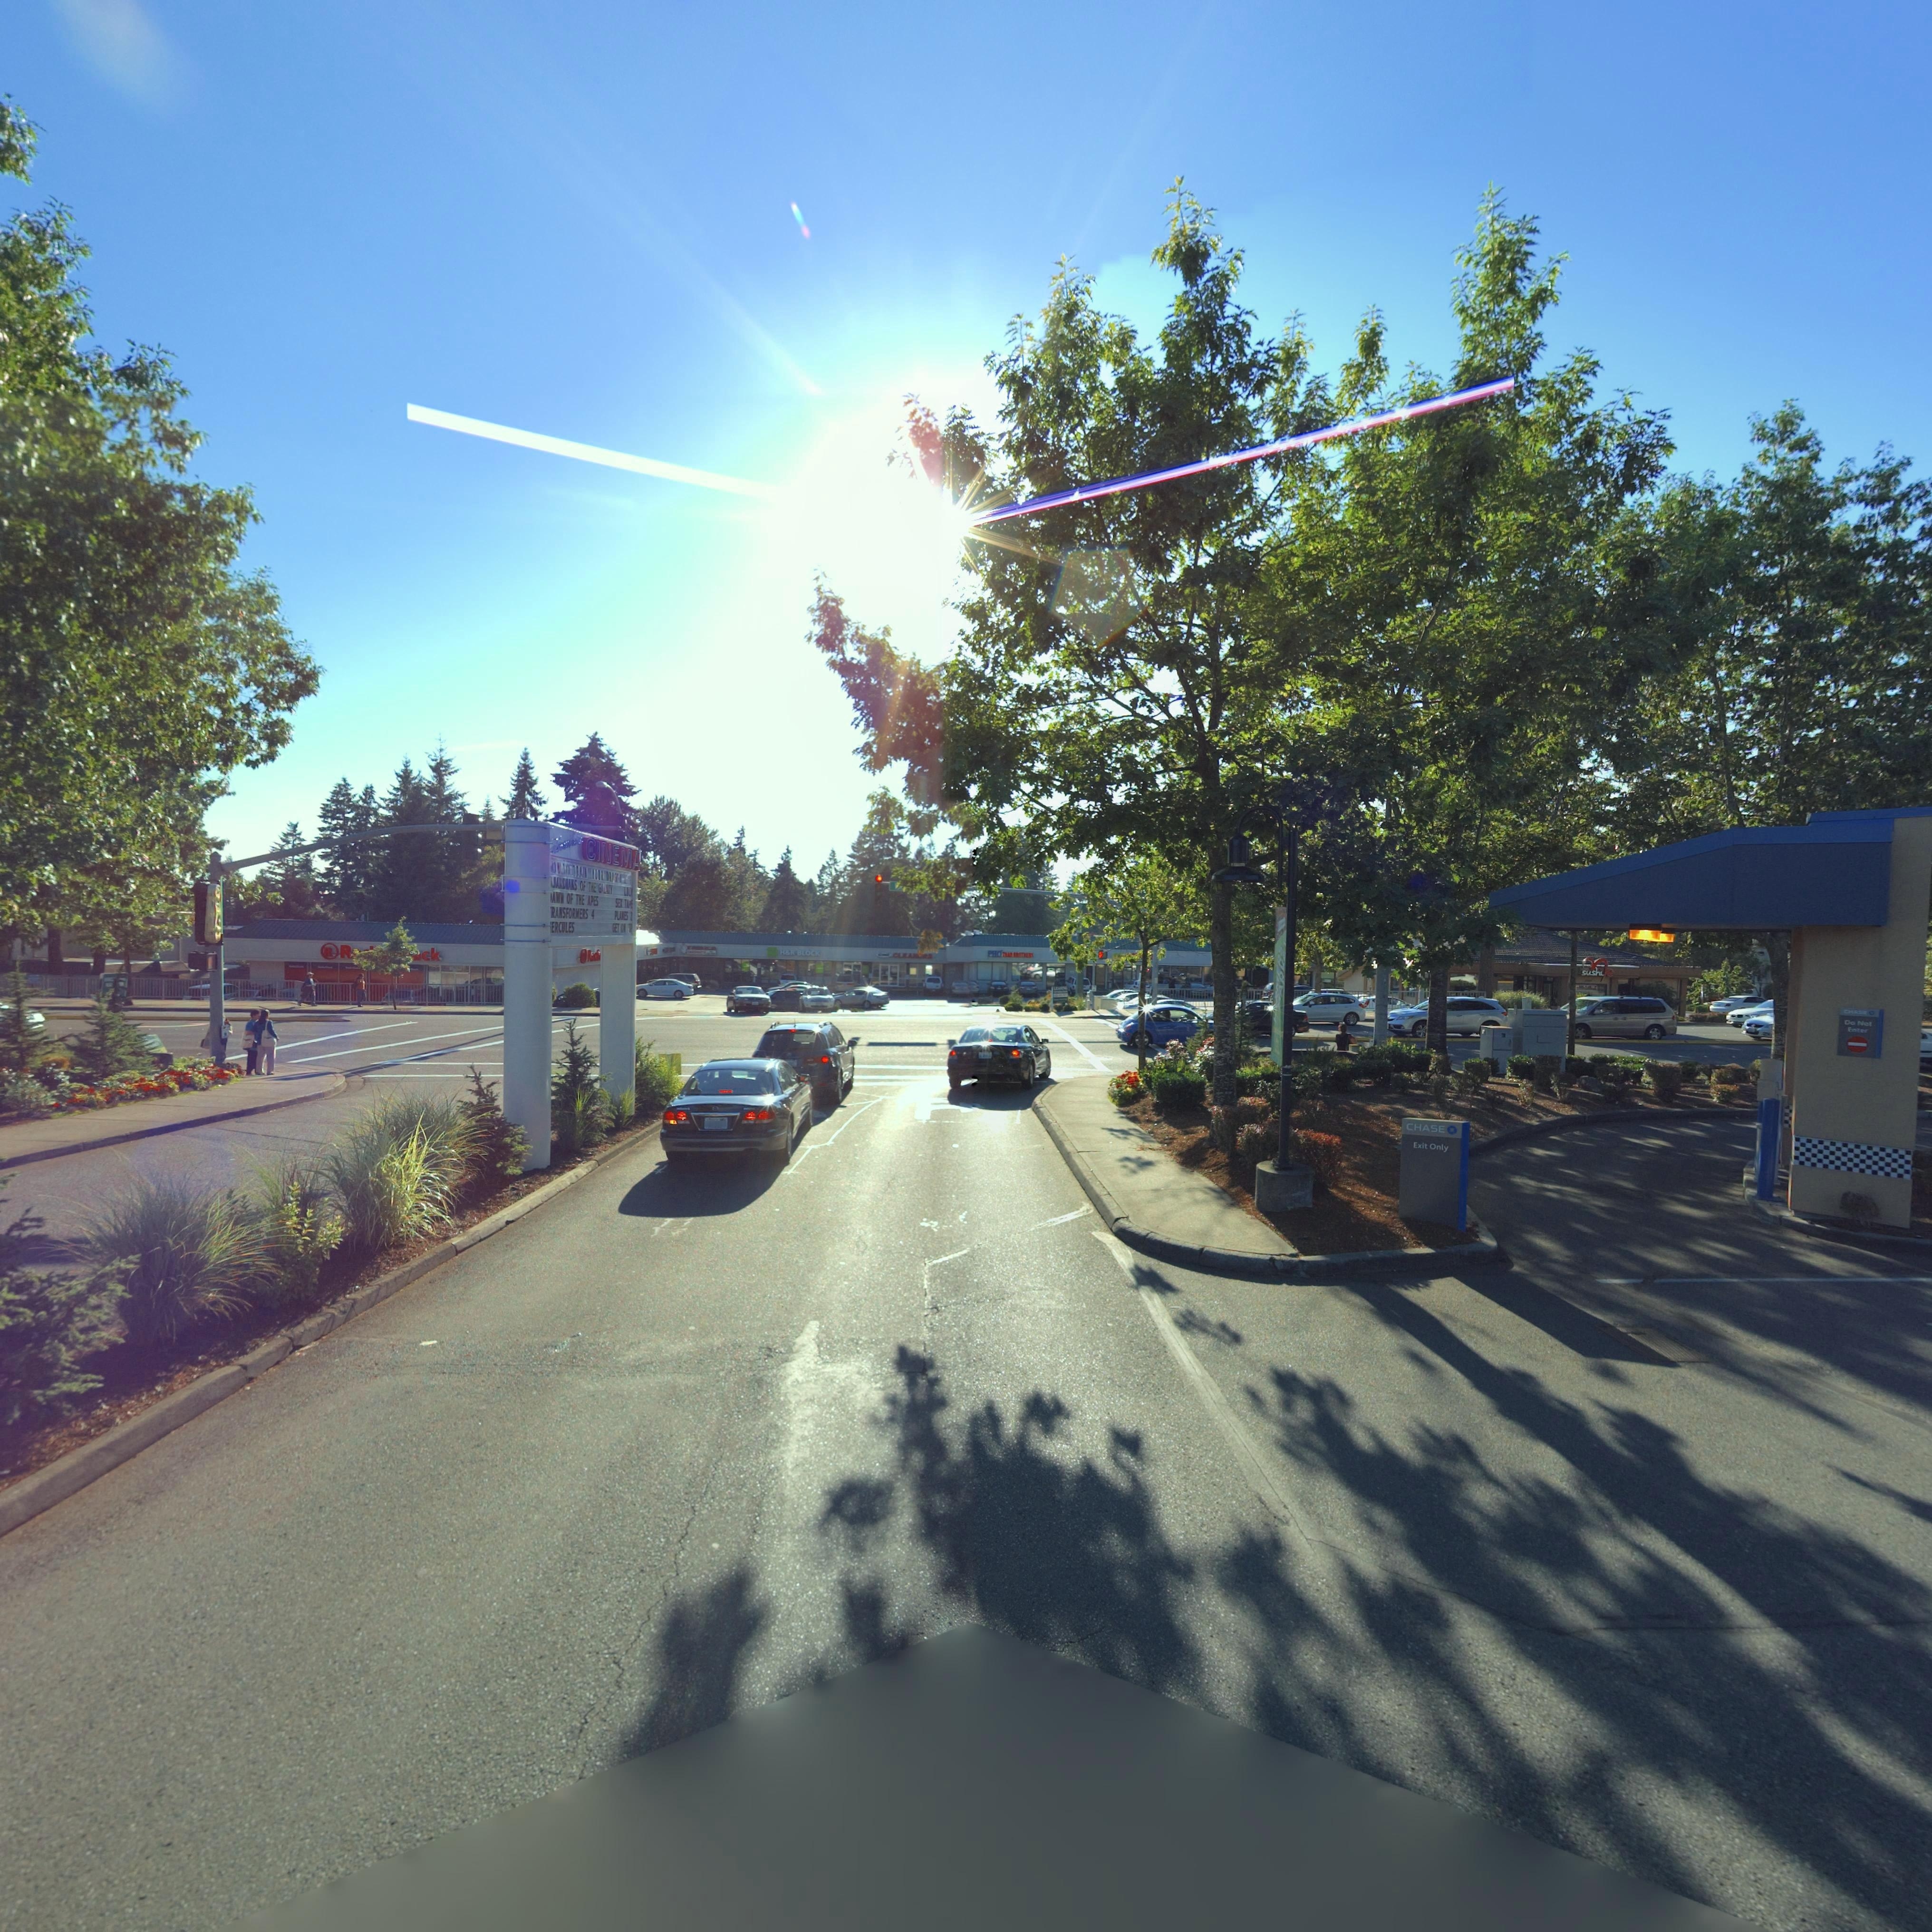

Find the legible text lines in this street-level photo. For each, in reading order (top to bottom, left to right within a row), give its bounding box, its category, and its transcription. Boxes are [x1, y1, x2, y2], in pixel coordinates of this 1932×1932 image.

[585, 836, 642, 871] BusinessName: CINEMA
[339, 943, 441, 962] BusinessName: R******ck
[587, 948, 602, 962] BusinessName: Rad**
[779, 949, 821, 956] BusinessName: H*R BLOCK
[892, 952, 932, 959] BusinessName: CL*AN**S
[987, 950, 1002, 957] BusinessName: PHO
[1843, 1008, 1868, 1014] BusinessName: CHAS*
[1407, 1123, 1445, 1133] BusinessName: CHASE